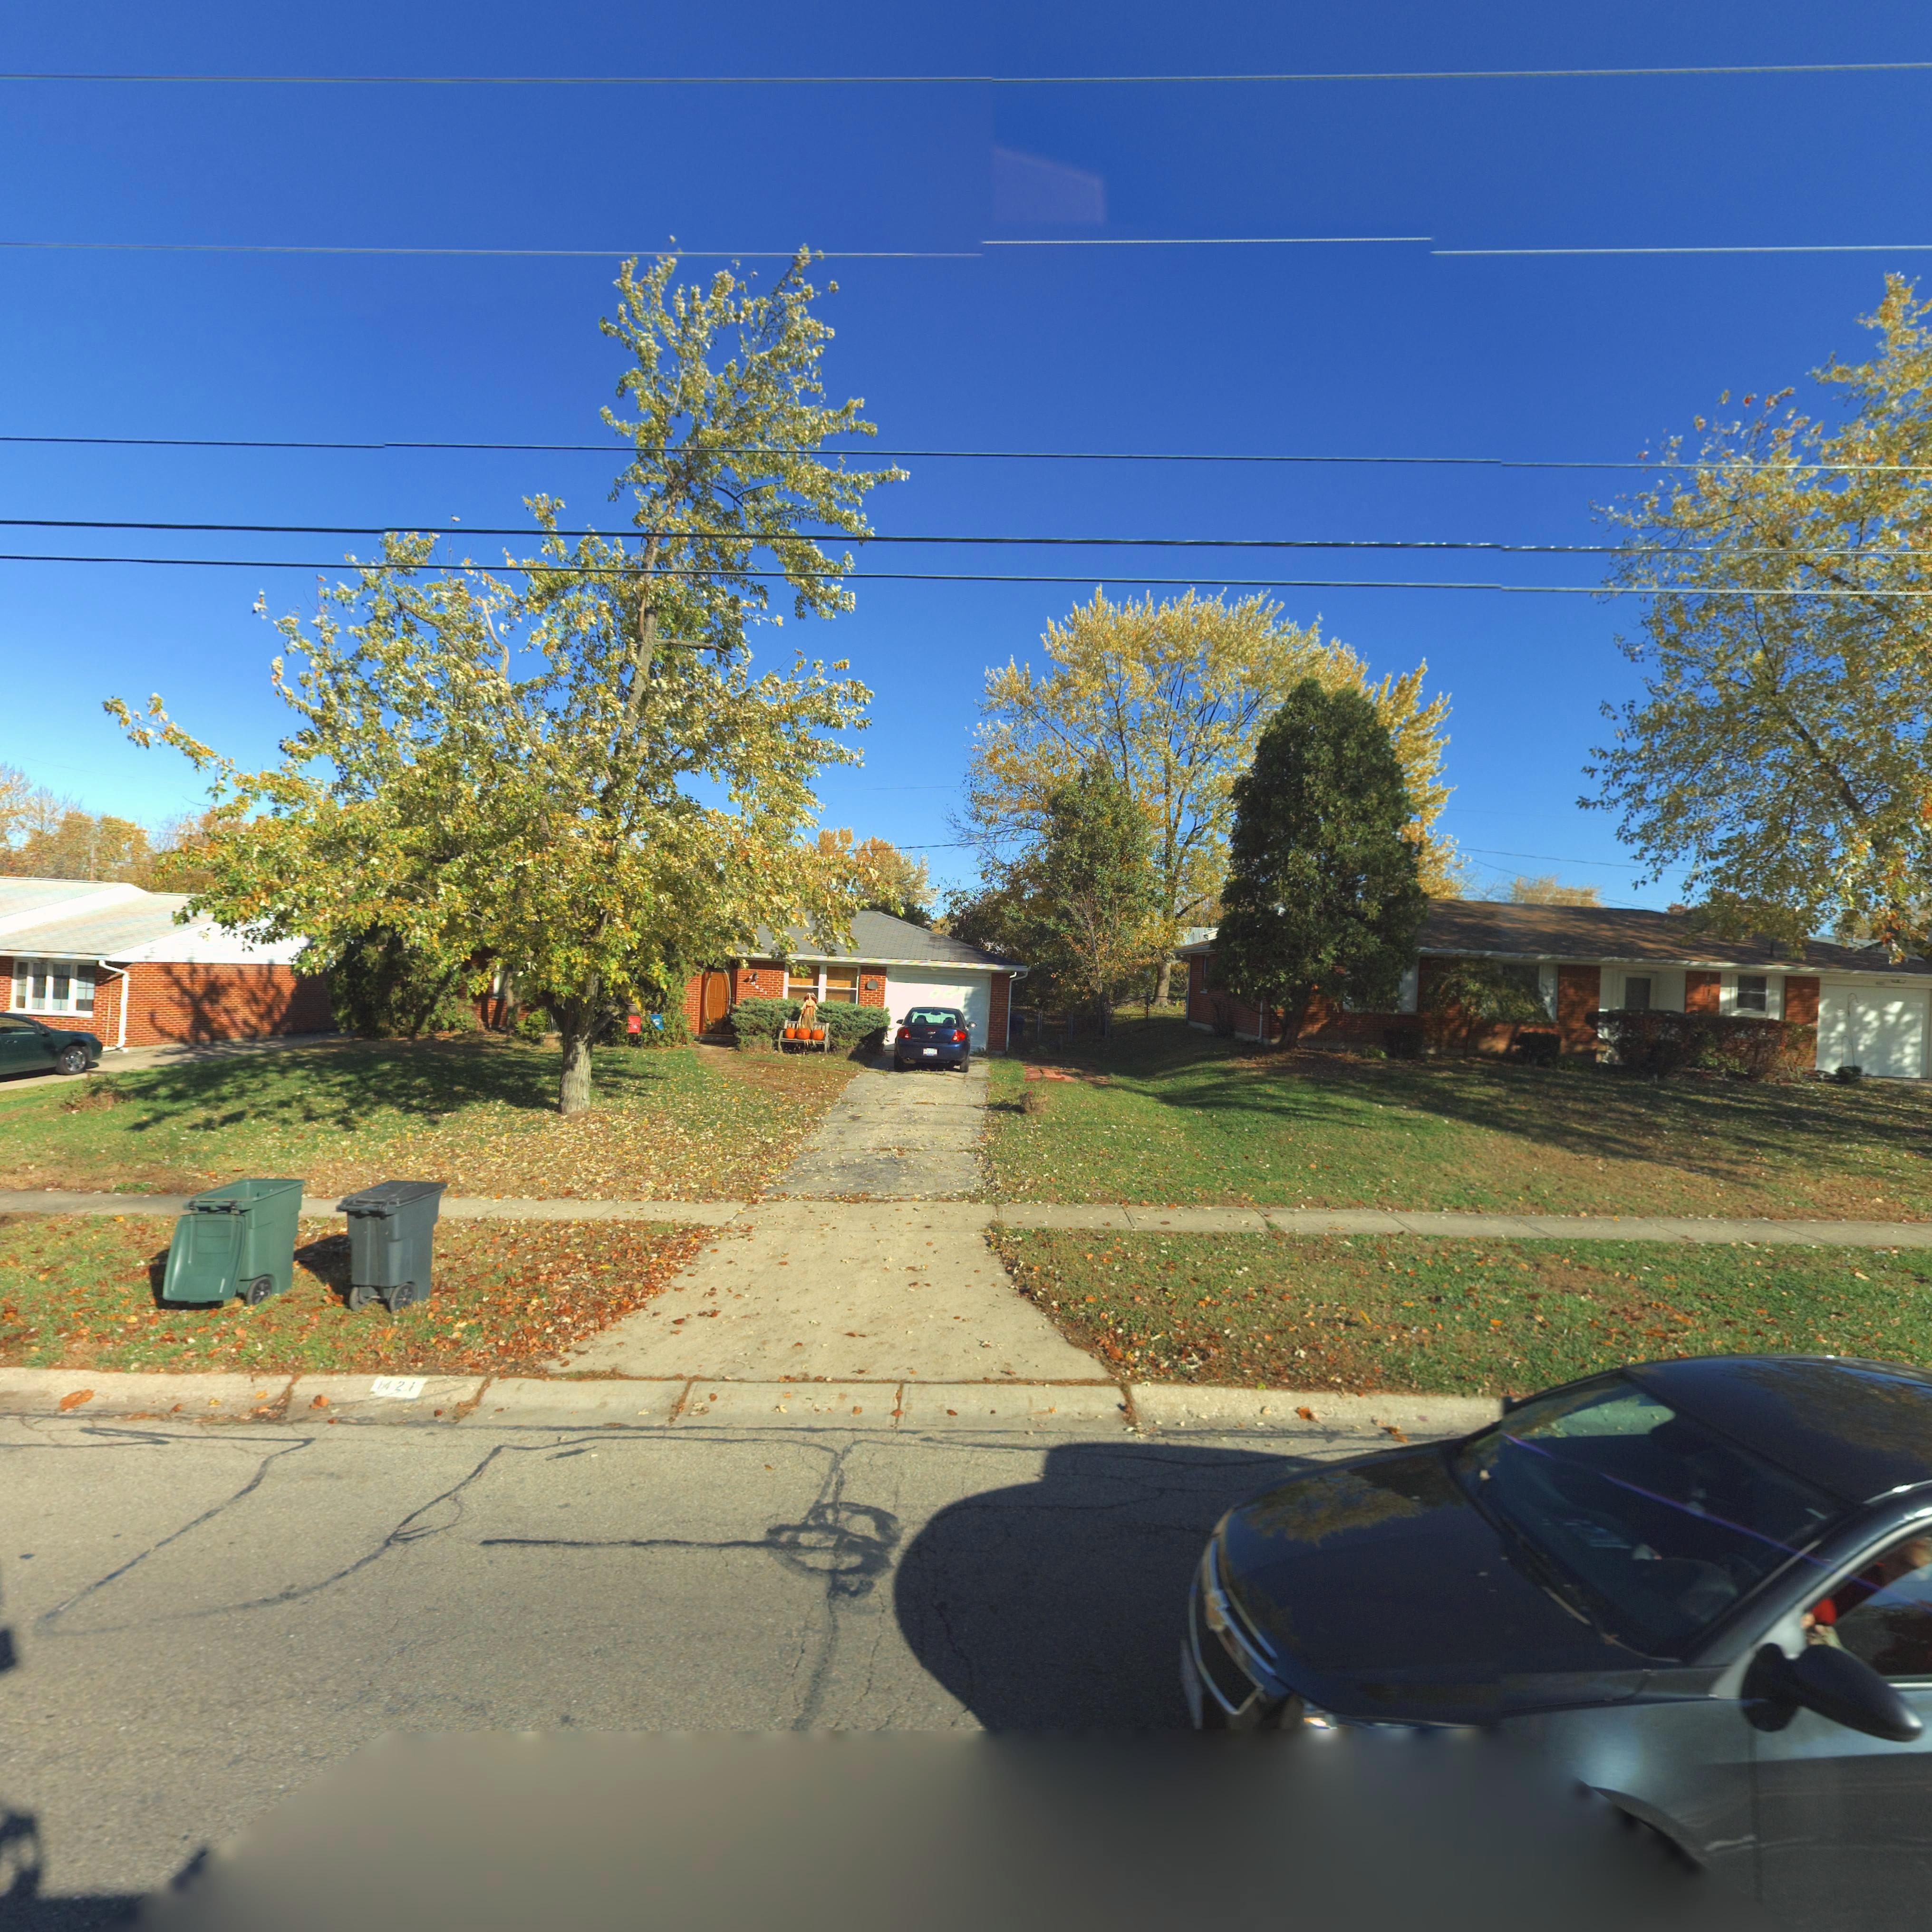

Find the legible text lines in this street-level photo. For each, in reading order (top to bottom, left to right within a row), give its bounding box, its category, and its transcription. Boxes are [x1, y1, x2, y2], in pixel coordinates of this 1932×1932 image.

[750, 980, 768, 996] StreetNumber: *421
[382, 1379, 417, 1393] StreetNumber: 421